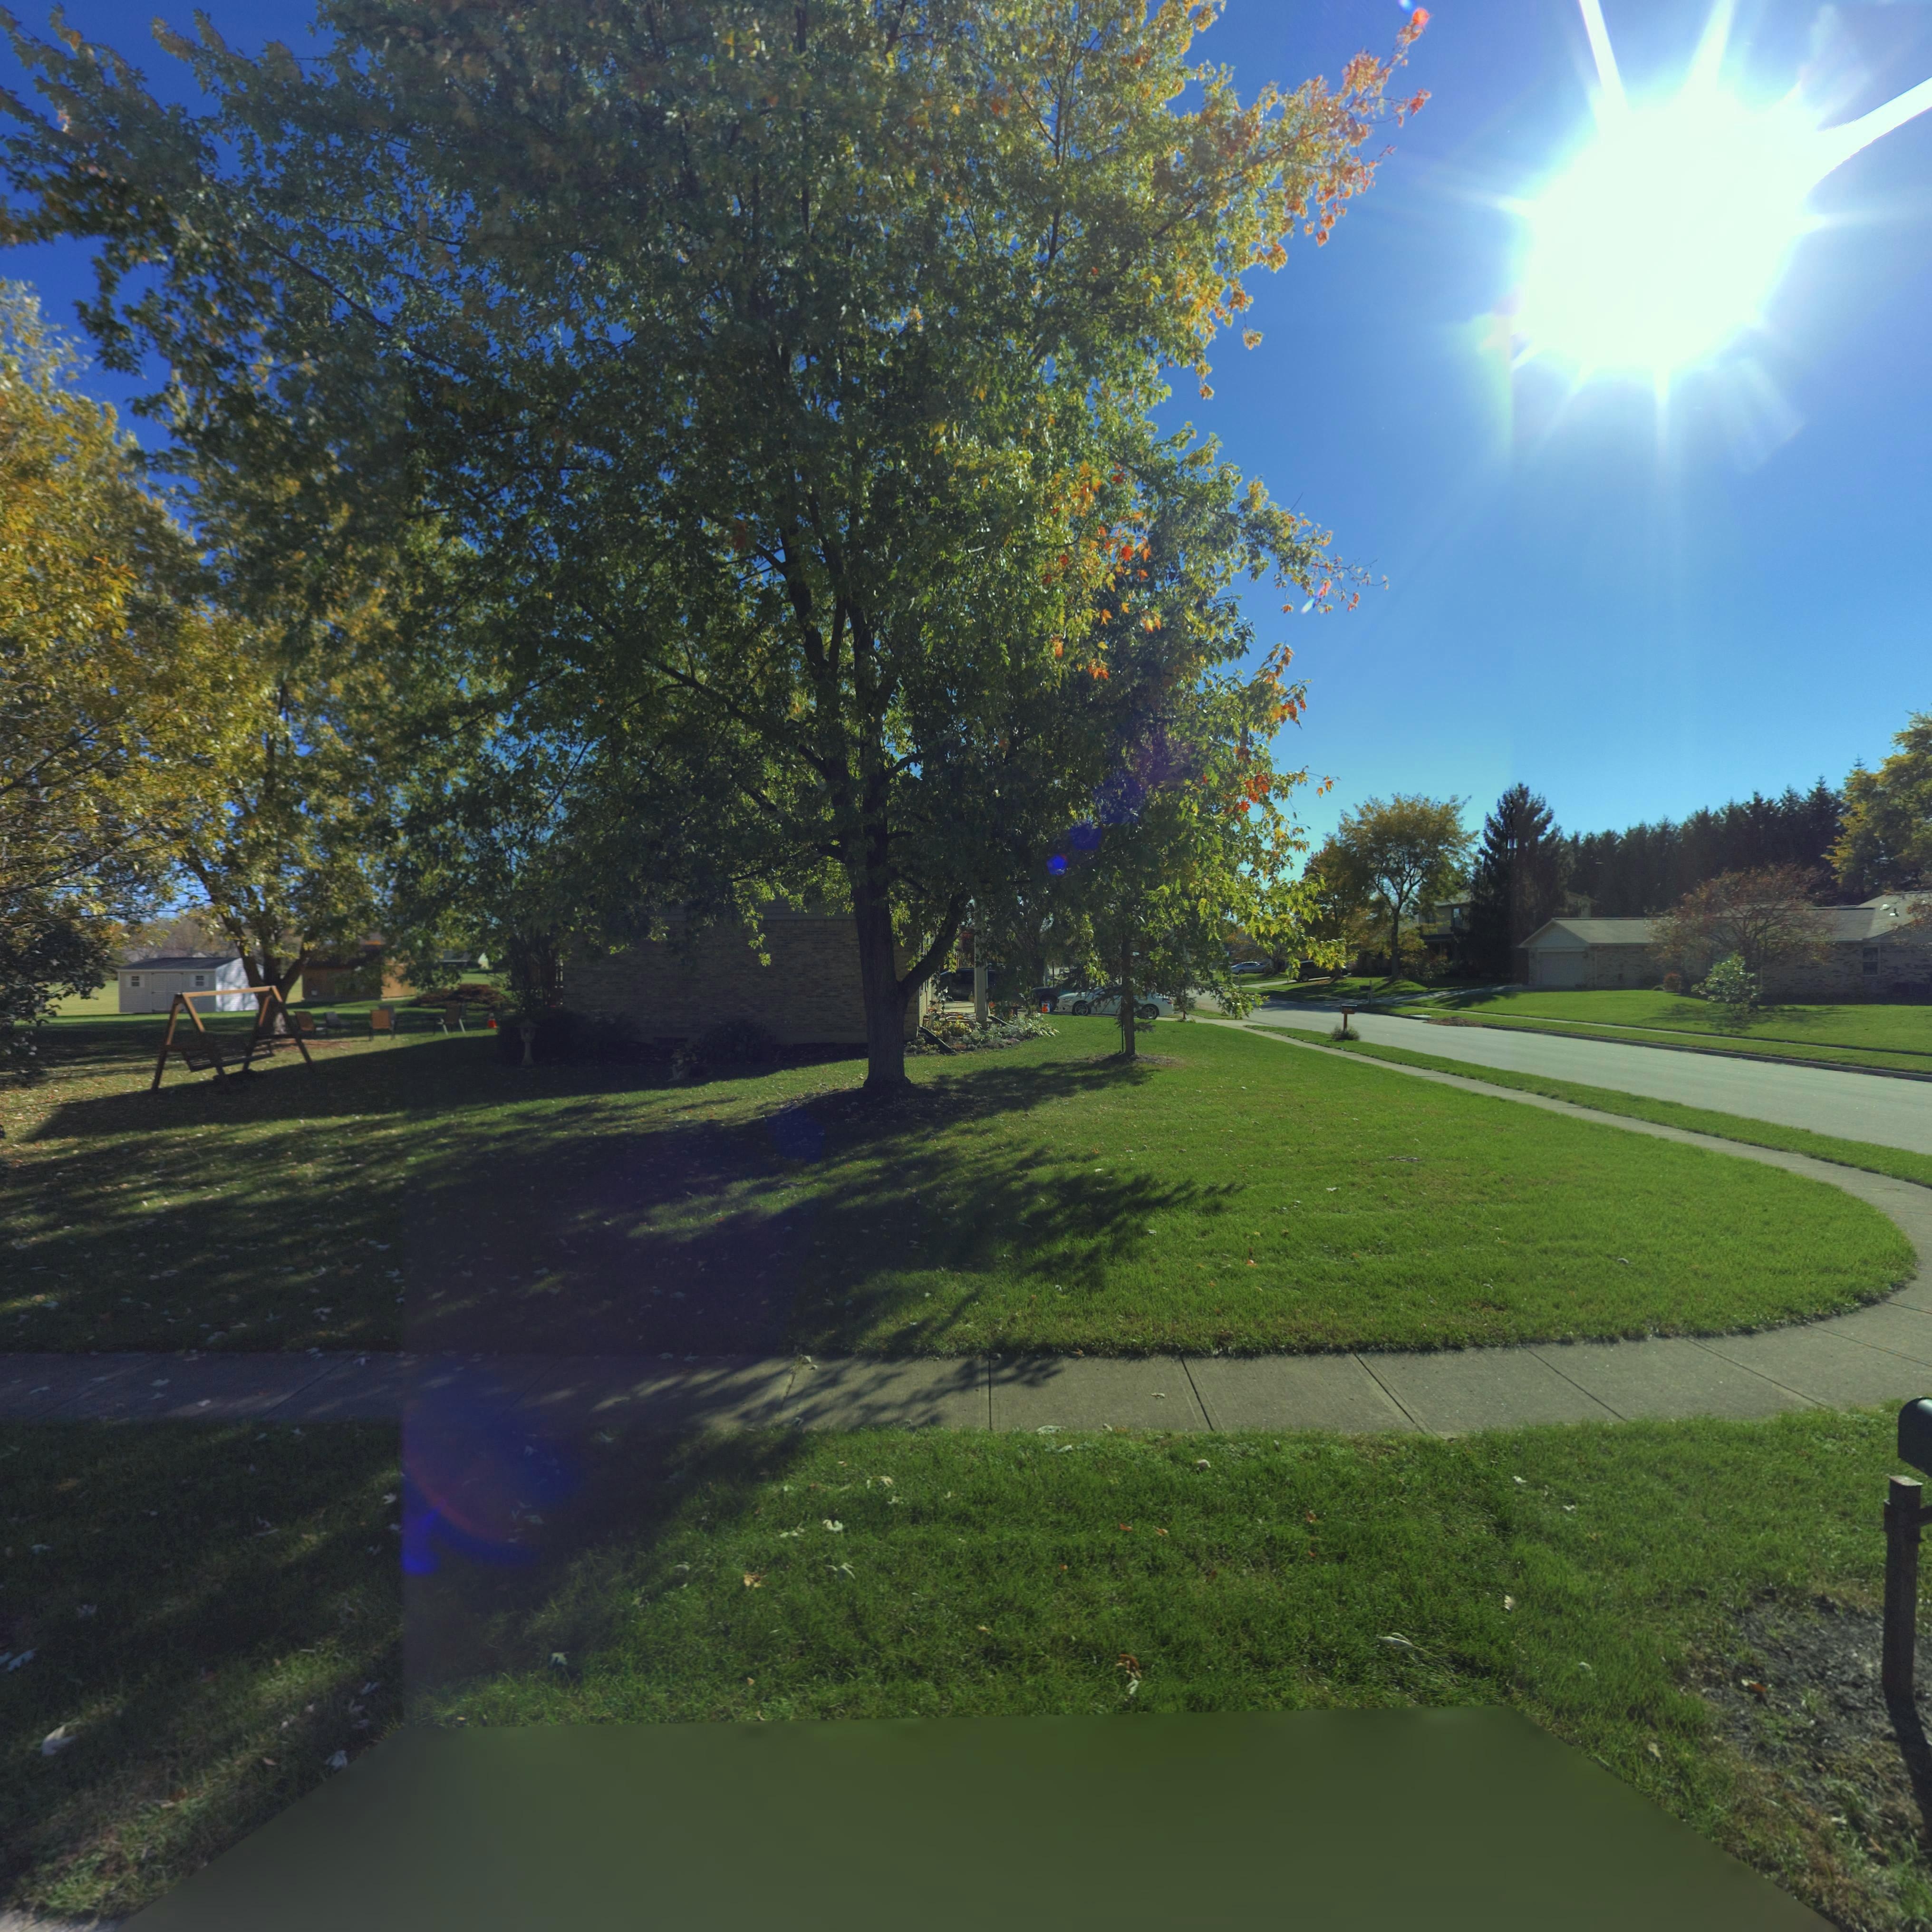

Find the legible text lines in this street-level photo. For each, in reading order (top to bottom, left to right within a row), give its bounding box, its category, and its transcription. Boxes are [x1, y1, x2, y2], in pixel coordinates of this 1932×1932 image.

[1343, 1007, 1352, 1011] StreetNumber: 7*2*